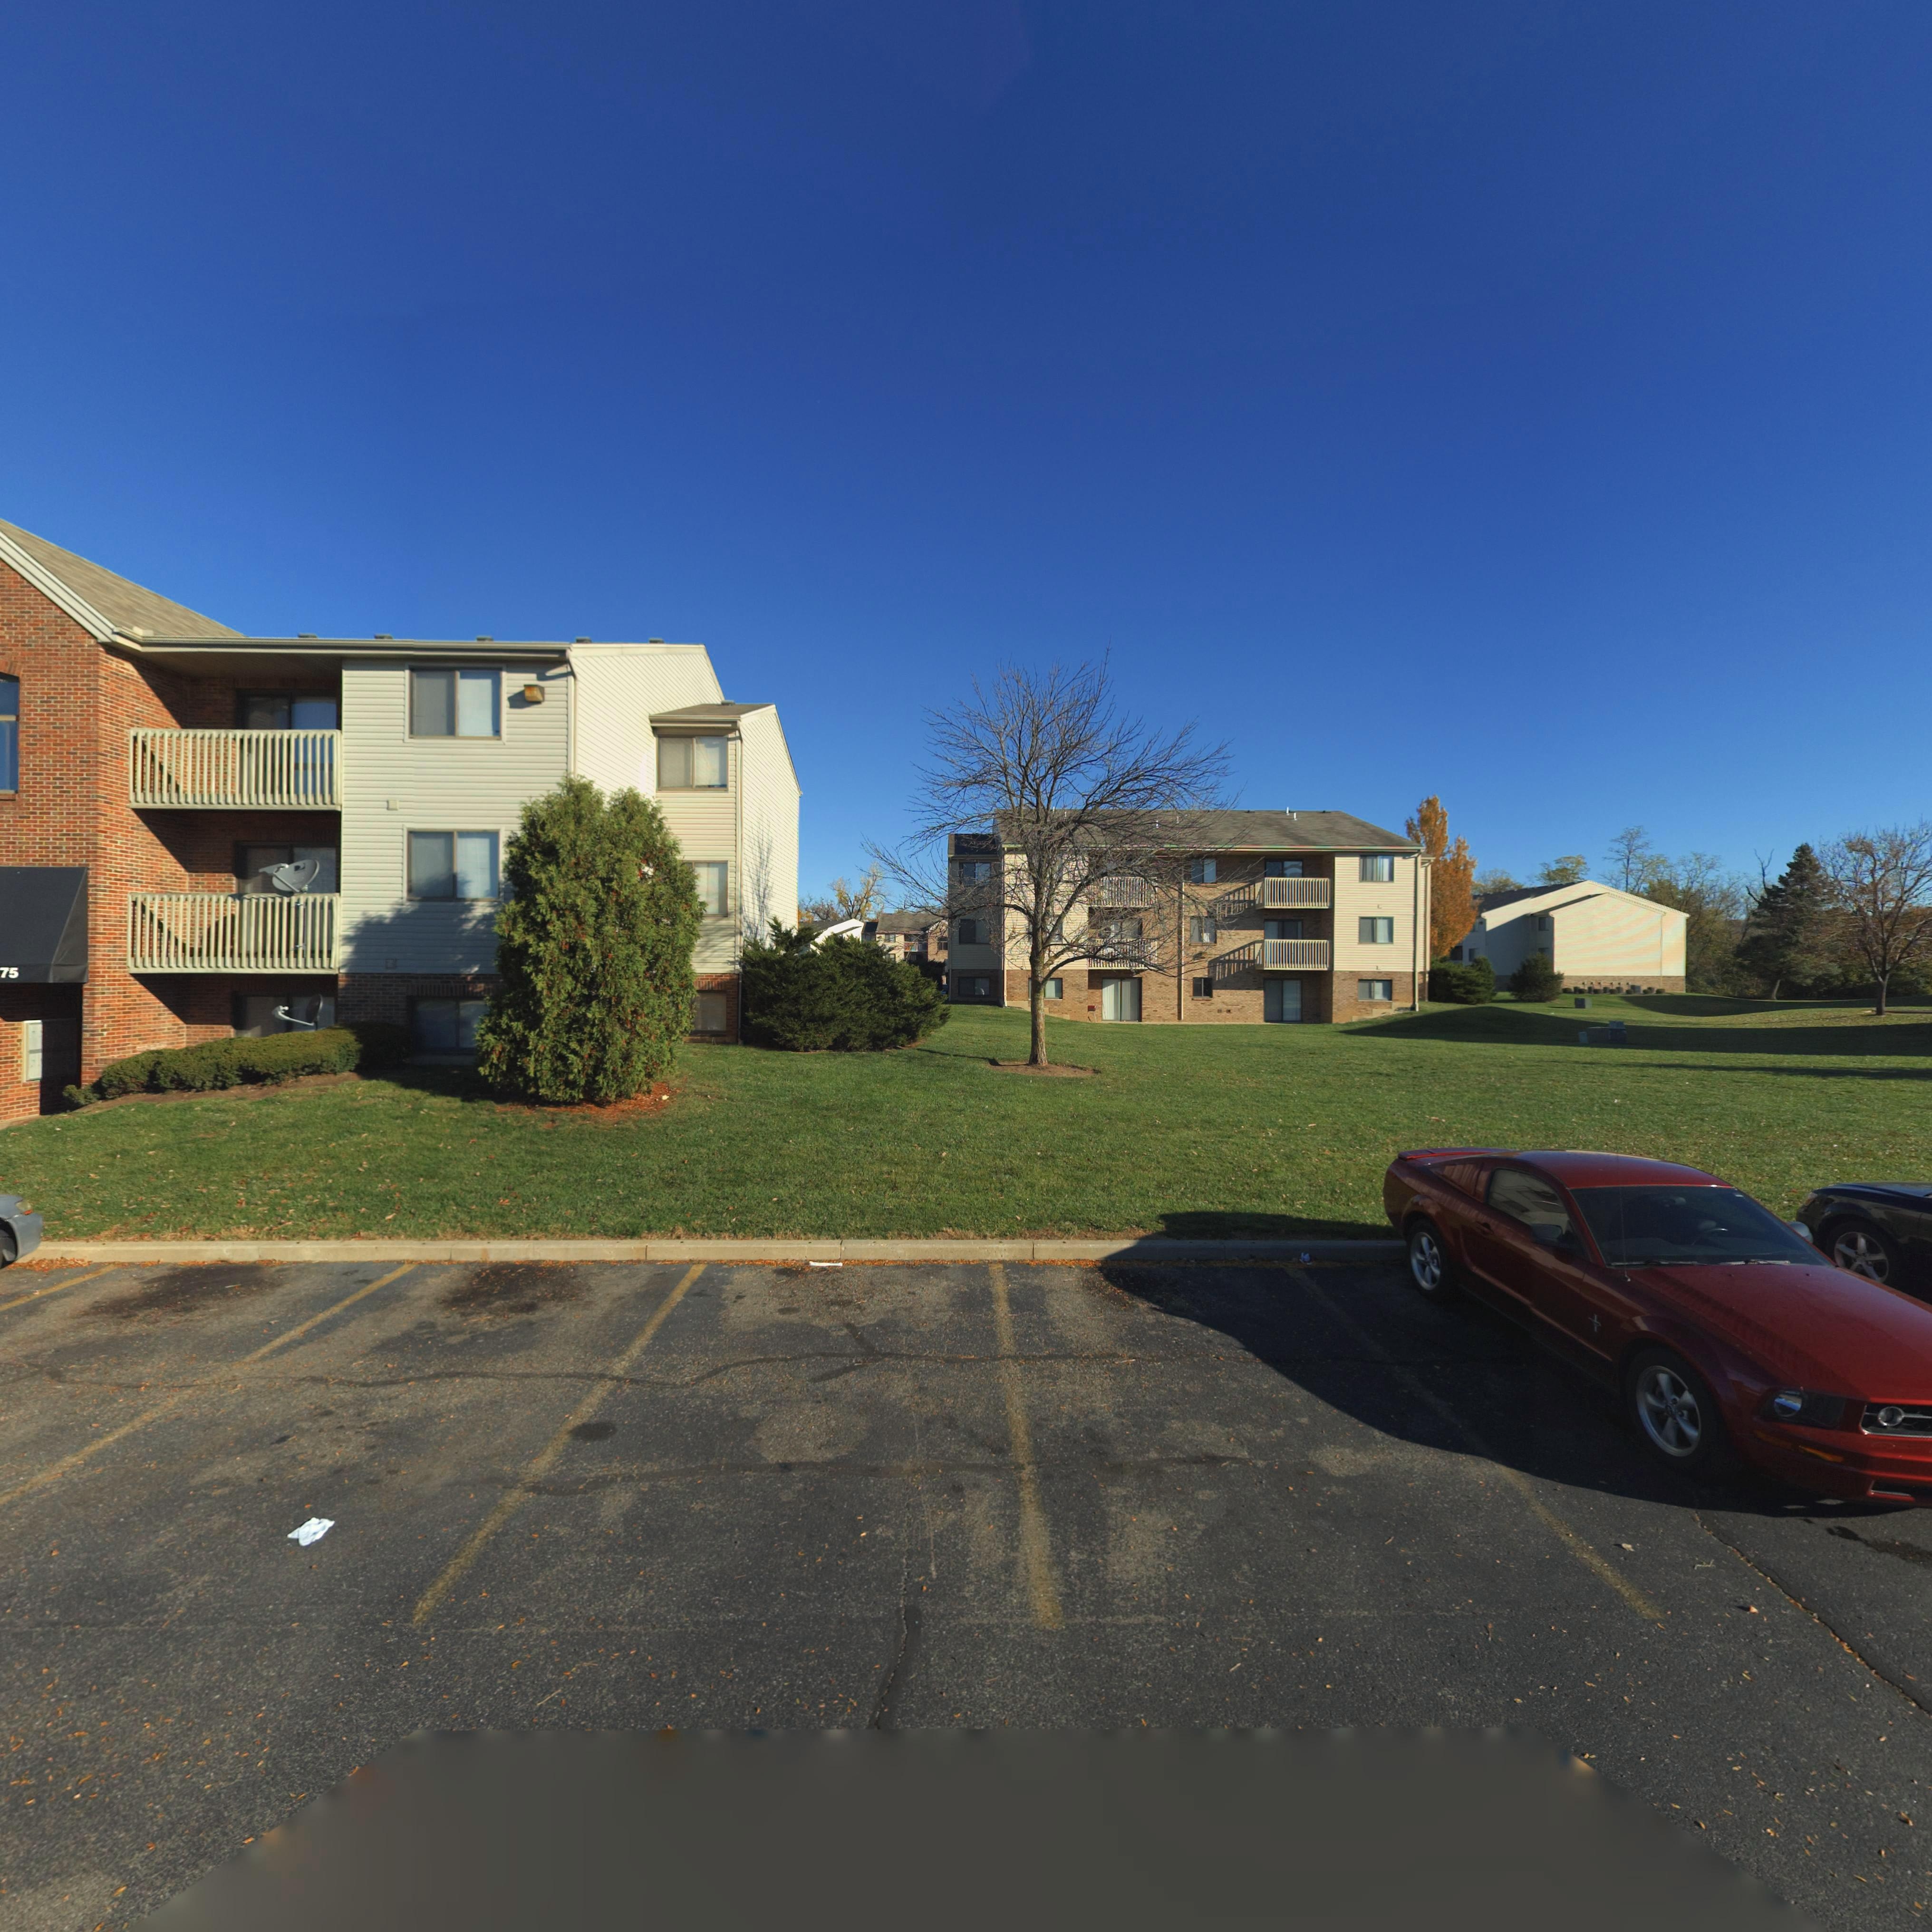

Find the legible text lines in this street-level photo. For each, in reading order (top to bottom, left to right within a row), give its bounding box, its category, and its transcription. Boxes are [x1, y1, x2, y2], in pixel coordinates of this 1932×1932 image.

[0, 966, 19, 979] StreetNumber: 75